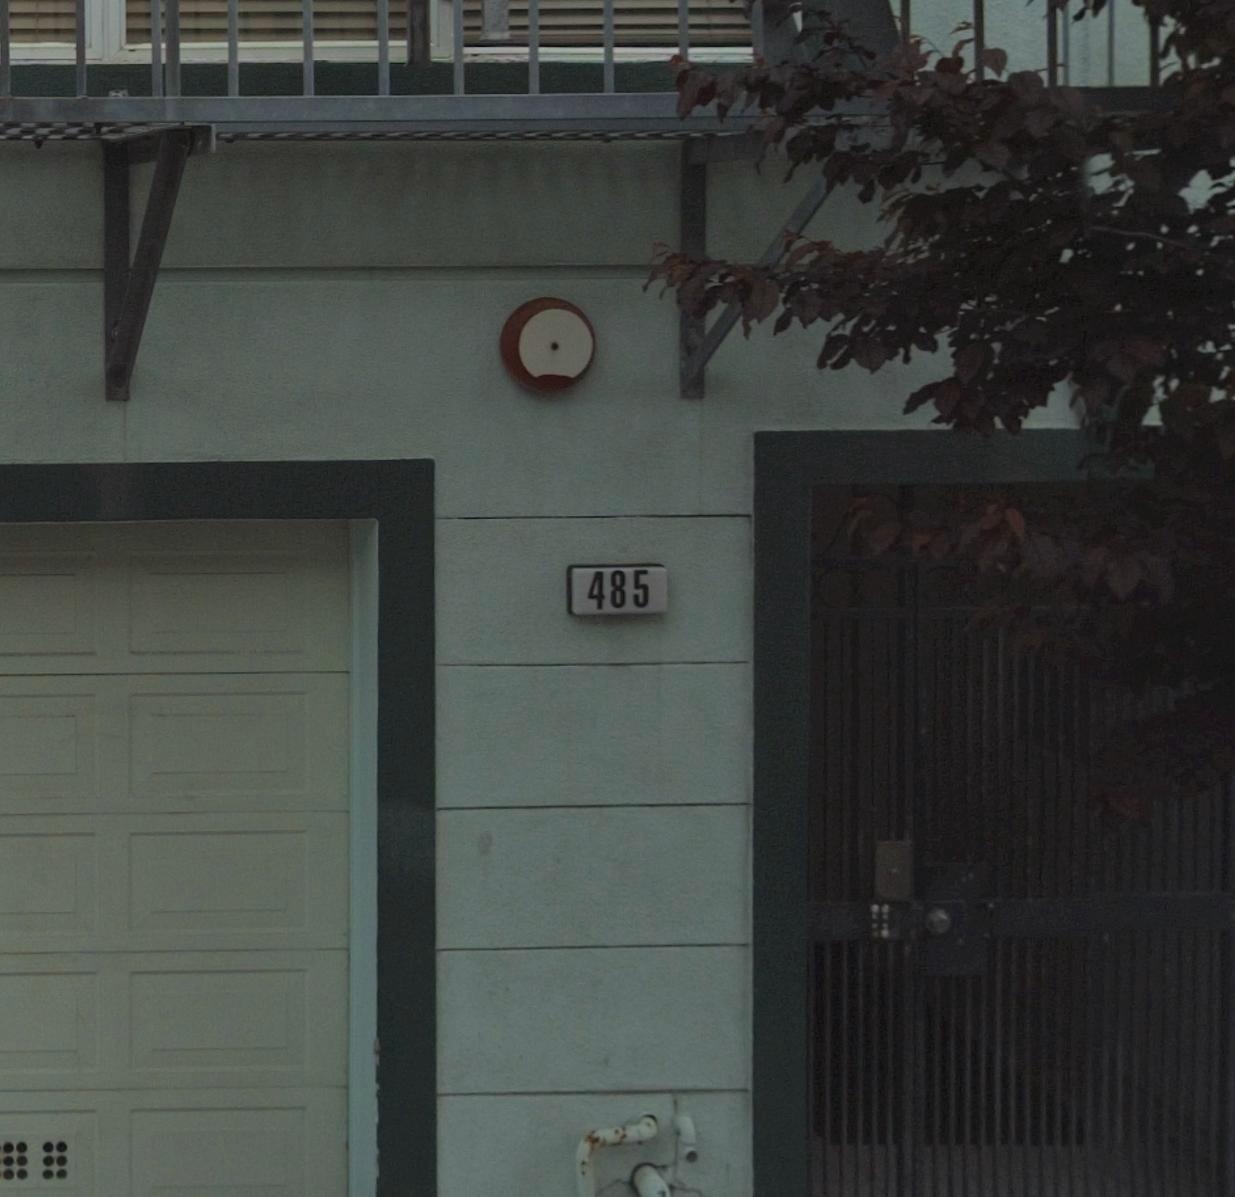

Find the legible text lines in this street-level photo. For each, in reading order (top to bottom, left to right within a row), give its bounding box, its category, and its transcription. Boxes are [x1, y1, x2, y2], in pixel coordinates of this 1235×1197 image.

[583, 565, 653, 613] StreetNumber: 485